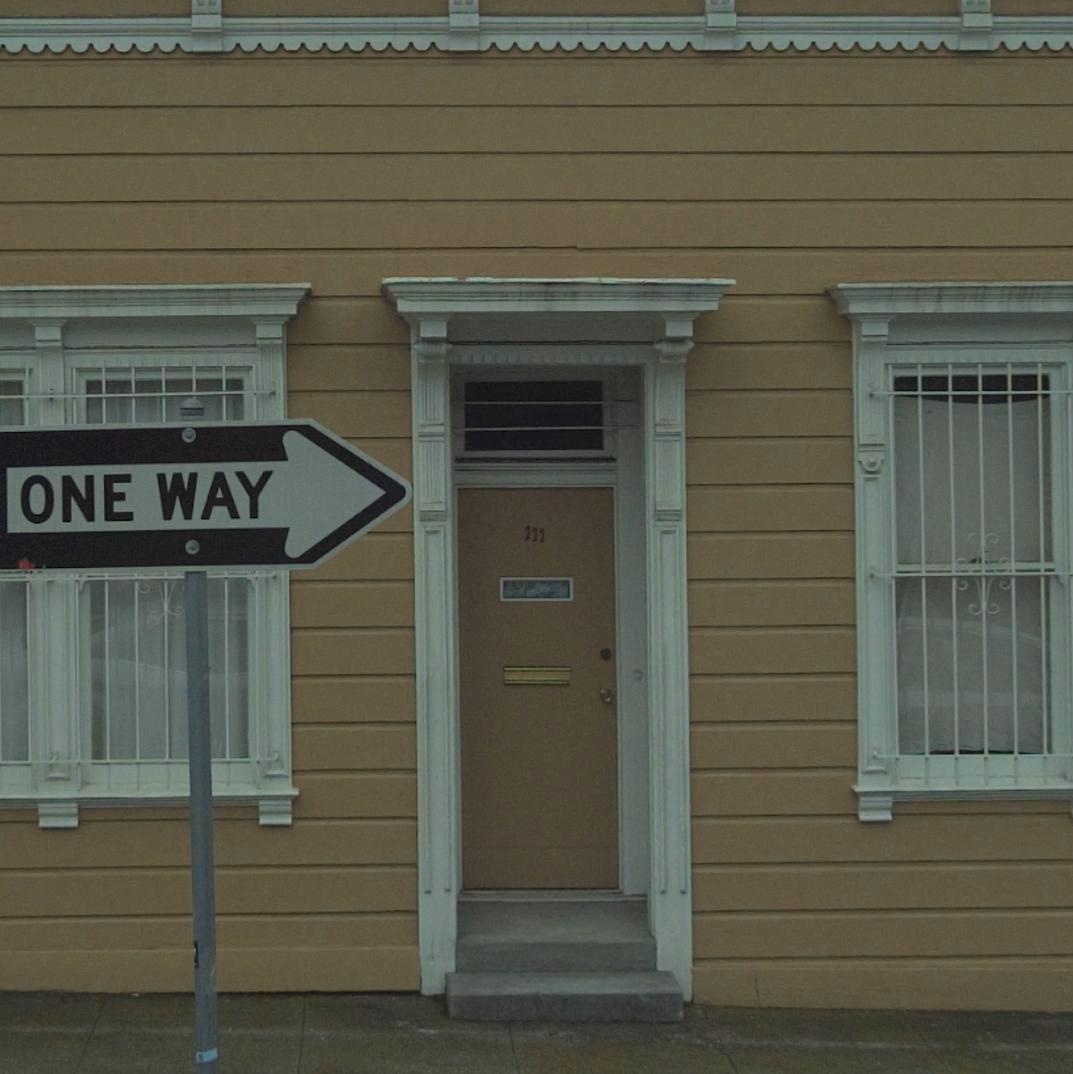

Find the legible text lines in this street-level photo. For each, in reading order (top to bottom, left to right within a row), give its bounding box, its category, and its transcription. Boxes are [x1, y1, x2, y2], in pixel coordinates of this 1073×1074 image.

[13, 468, 275, 526] None: ONE WAY
[522, 524, 547, 544] StreetNumber: 111